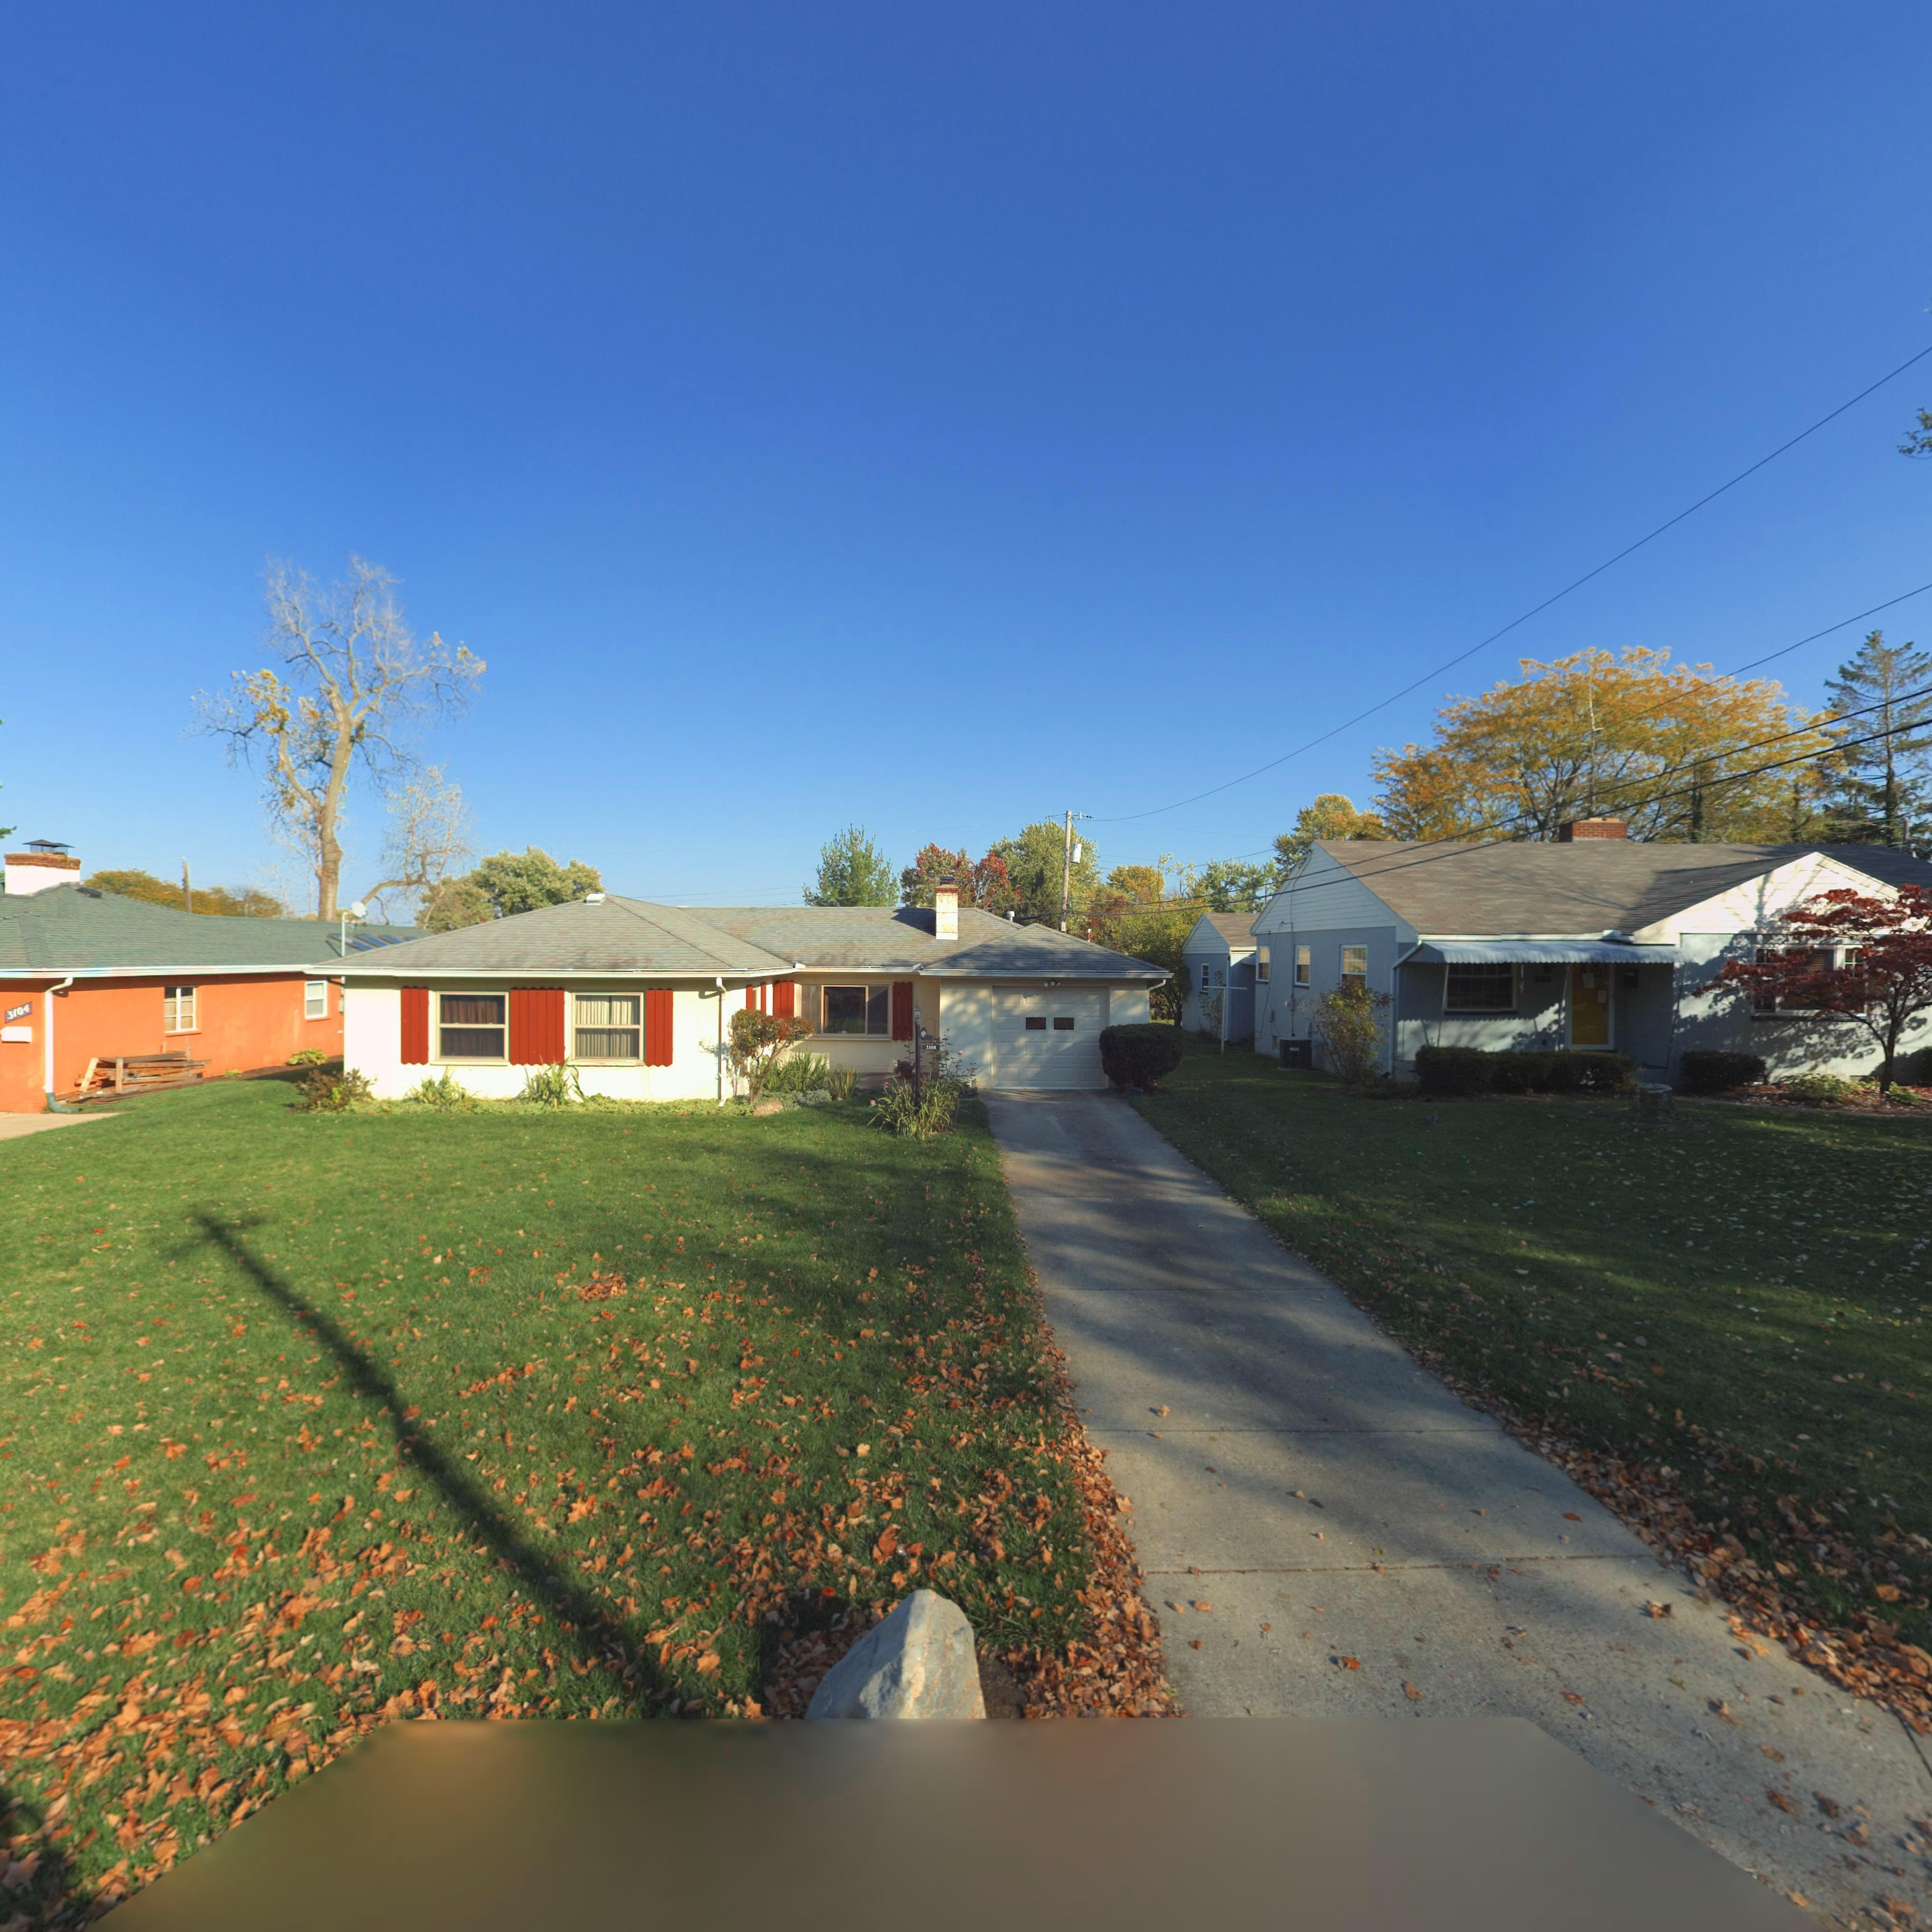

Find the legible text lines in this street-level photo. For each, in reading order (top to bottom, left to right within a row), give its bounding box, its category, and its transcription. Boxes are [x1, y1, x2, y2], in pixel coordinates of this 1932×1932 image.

[5, 1002, 31, 1022] StreetNumber: 3104
[925, 1044, 937, 1051] StreetNumber: 310*